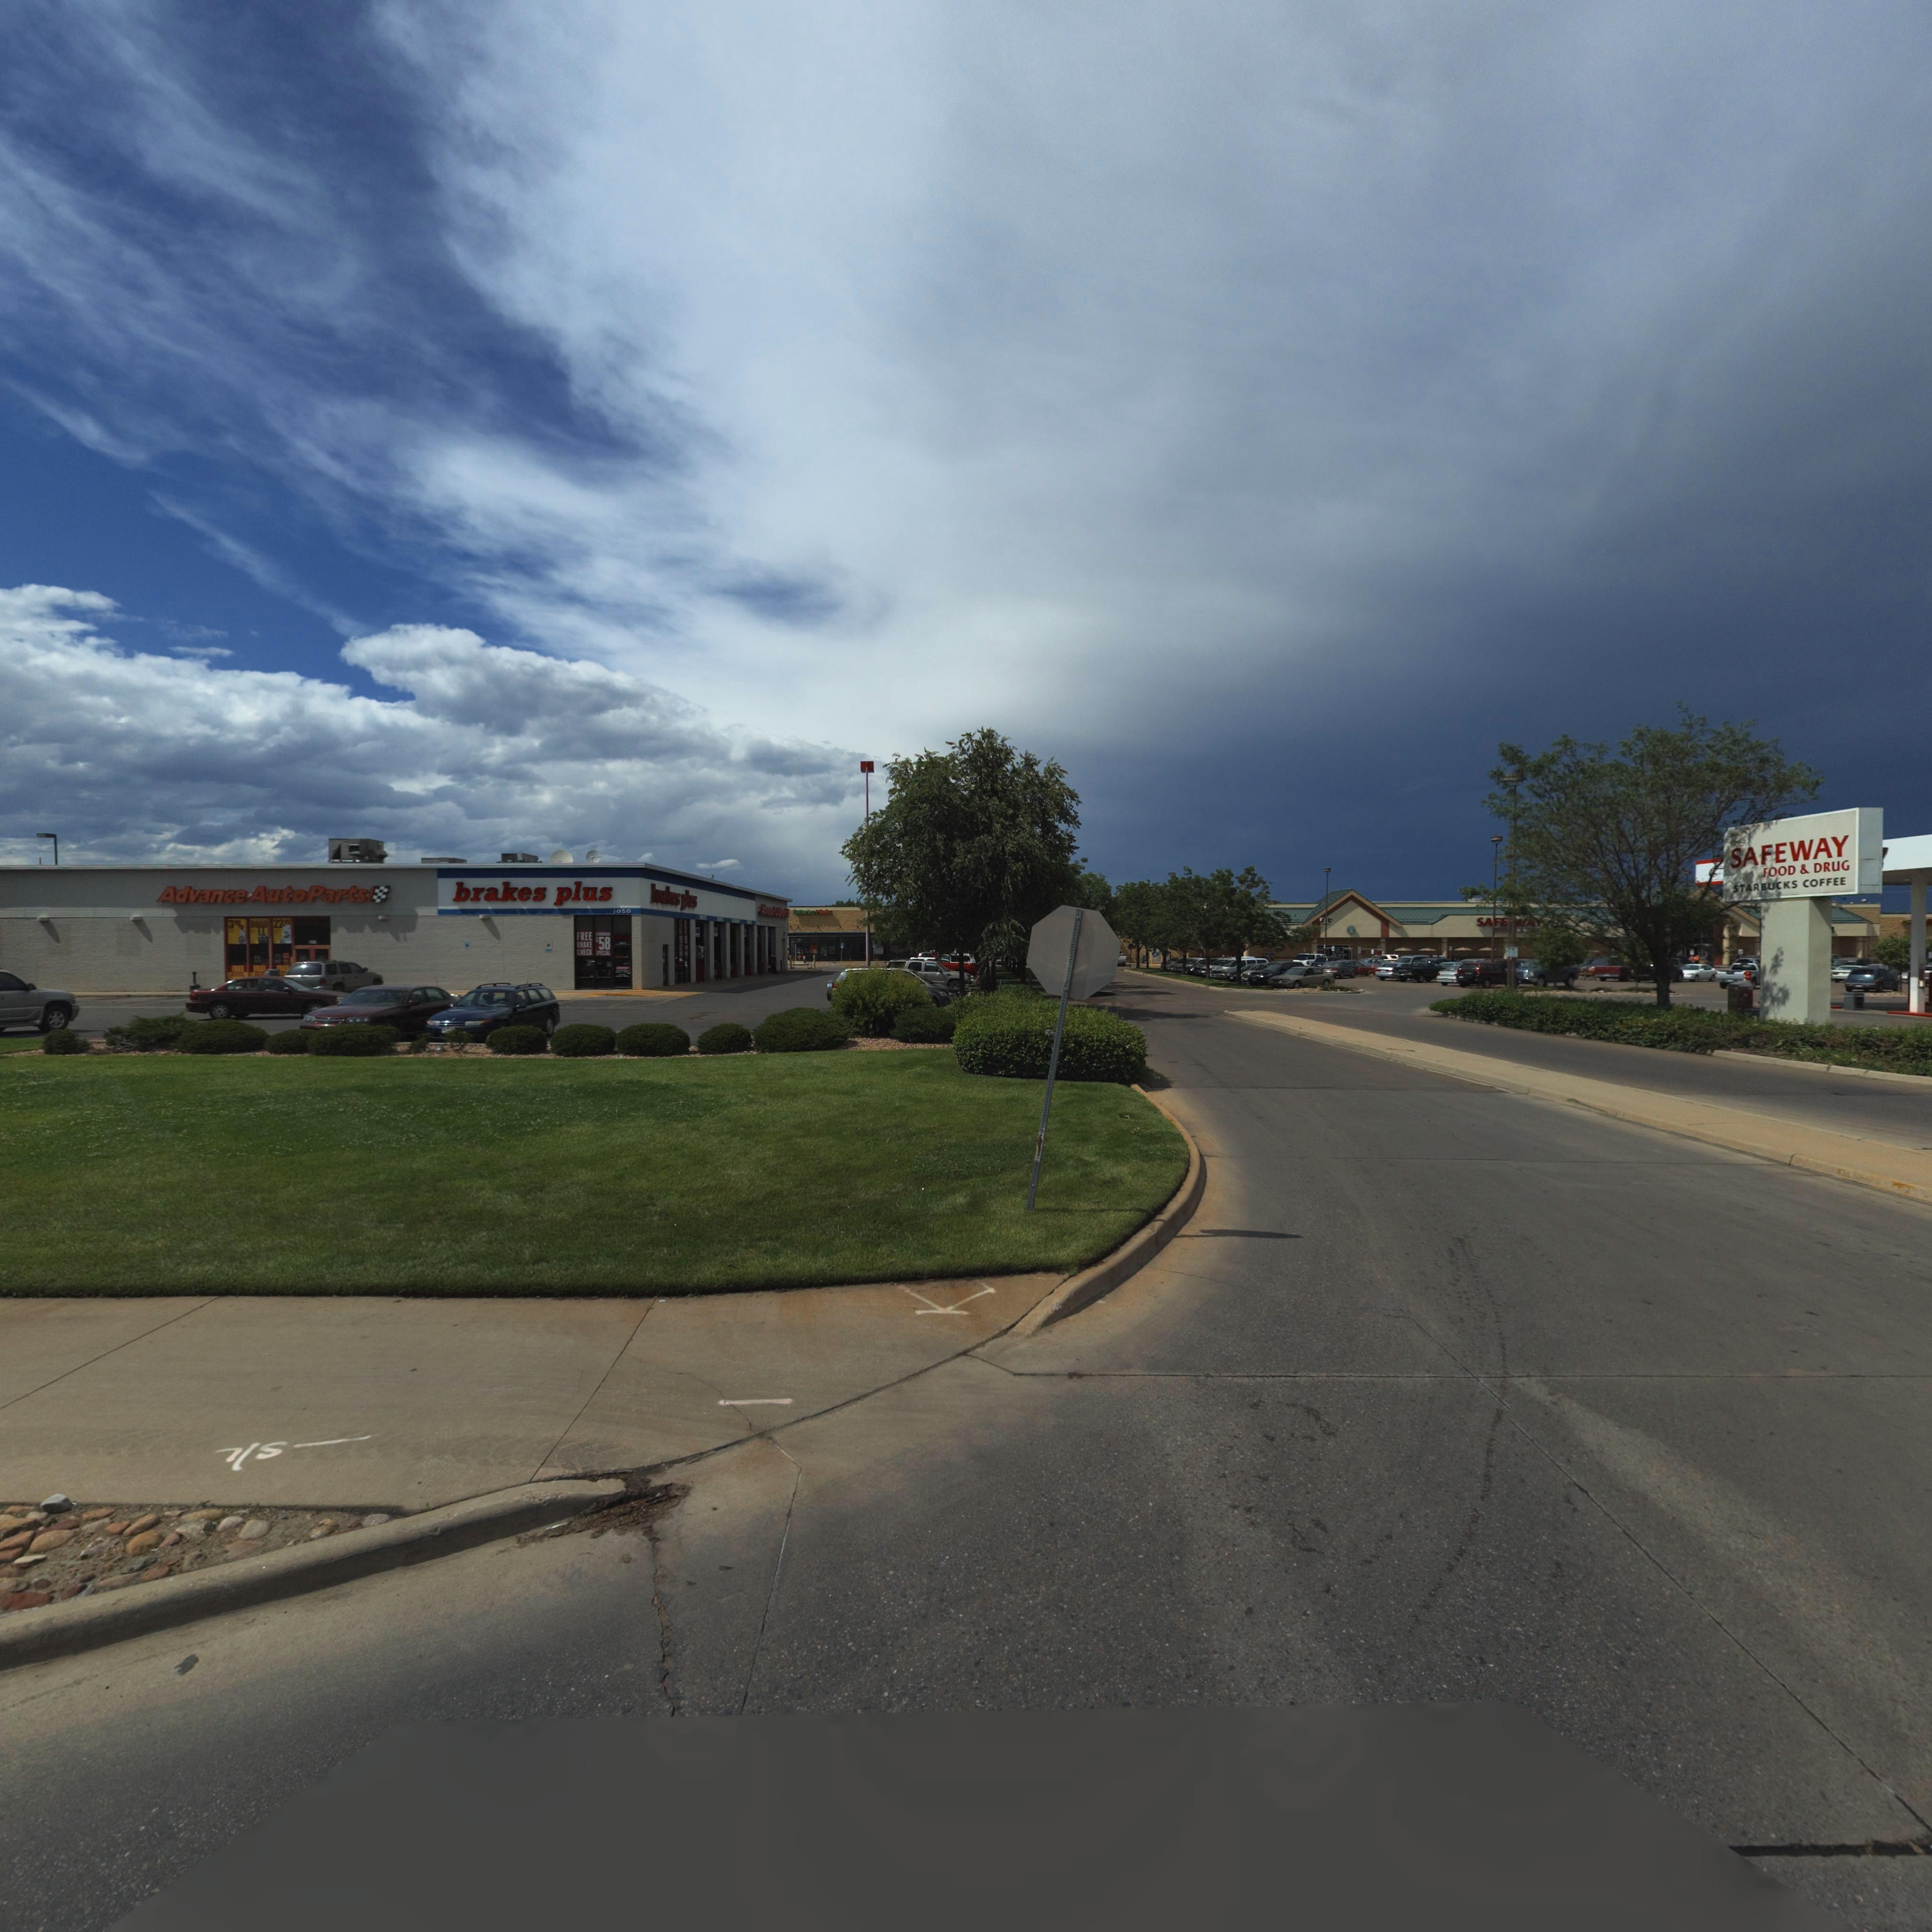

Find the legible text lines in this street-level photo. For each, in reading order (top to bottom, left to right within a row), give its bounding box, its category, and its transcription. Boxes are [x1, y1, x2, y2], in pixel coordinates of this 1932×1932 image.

[1730, 834, 1849, 868] BusinessName: SAFEWAY
[1732, 876, 1845, 893] BusinessName: STARBUCKS COFFEE
[156, 884, 369, 903] BusinessName: Advance Auto Parts
[452, 881, 612, 906] BusinessName: brakes plus
[650, 883, 697, 910] BusinessName: brakes plus
[613, 908, 631, 914] StreetNumber: 1050
[760, 903, 788, 918] BusinessName: Advance Auto Parts
[792, 909, 833, 915] BusinessName: Batteries * Bulbs
[1476, 917, 1508, 927] BusinessName: SAFE